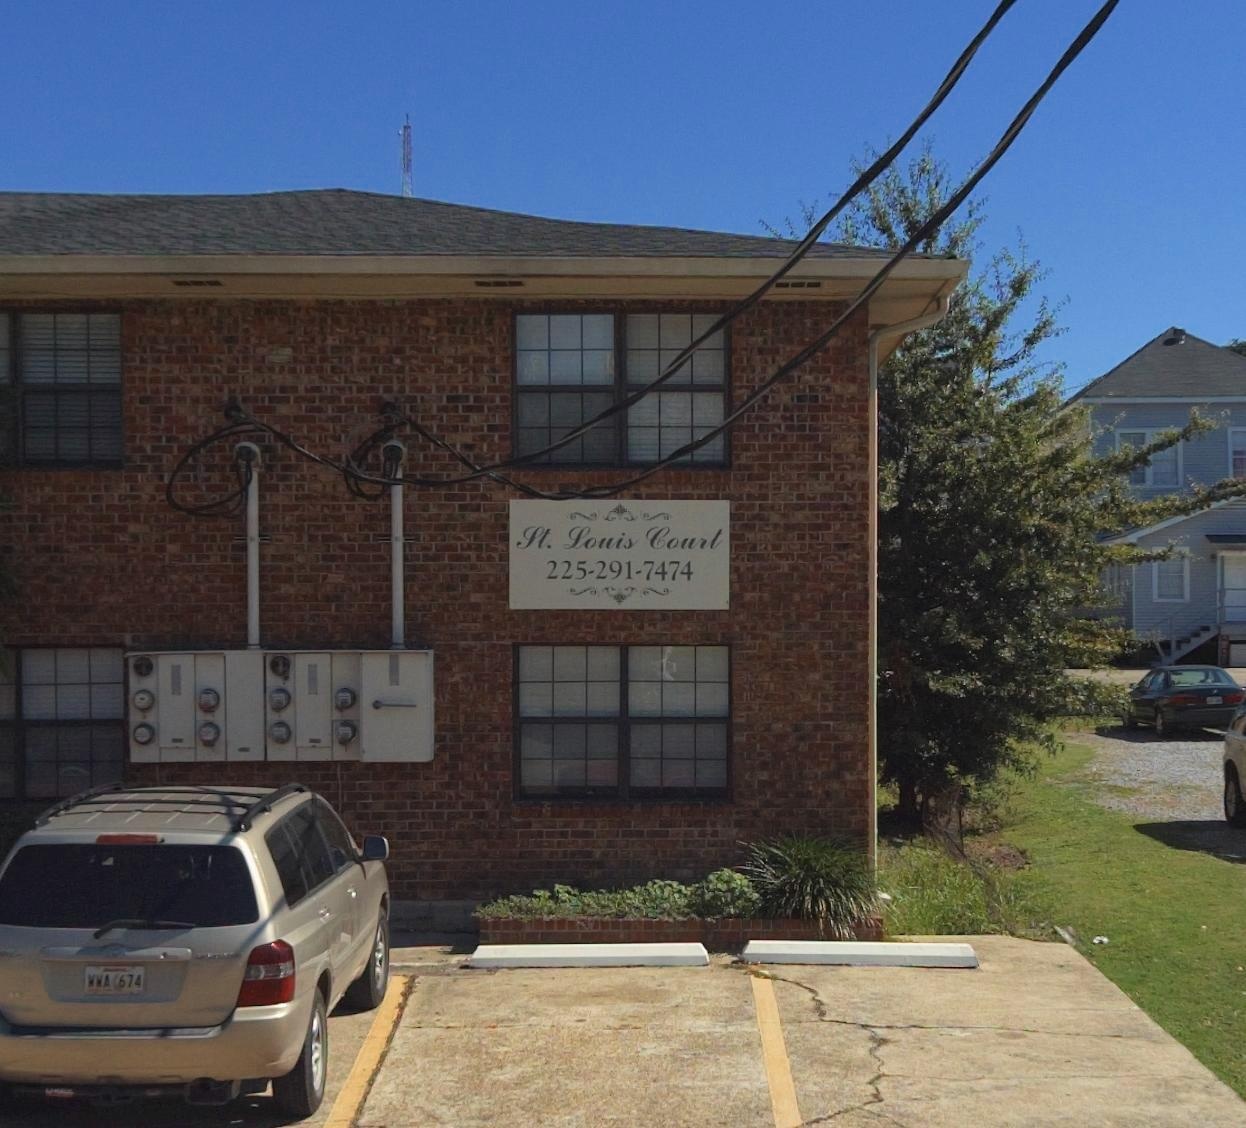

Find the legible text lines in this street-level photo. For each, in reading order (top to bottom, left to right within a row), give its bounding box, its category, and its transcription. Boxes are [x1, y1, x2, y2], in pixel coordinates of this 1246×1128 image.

[513, 523, 727, 553] BusinessName: St. Louis Court
[543, 557, 696, 584] None: 225-291-7474
[85, 971, 144, 991] None: WWA*674